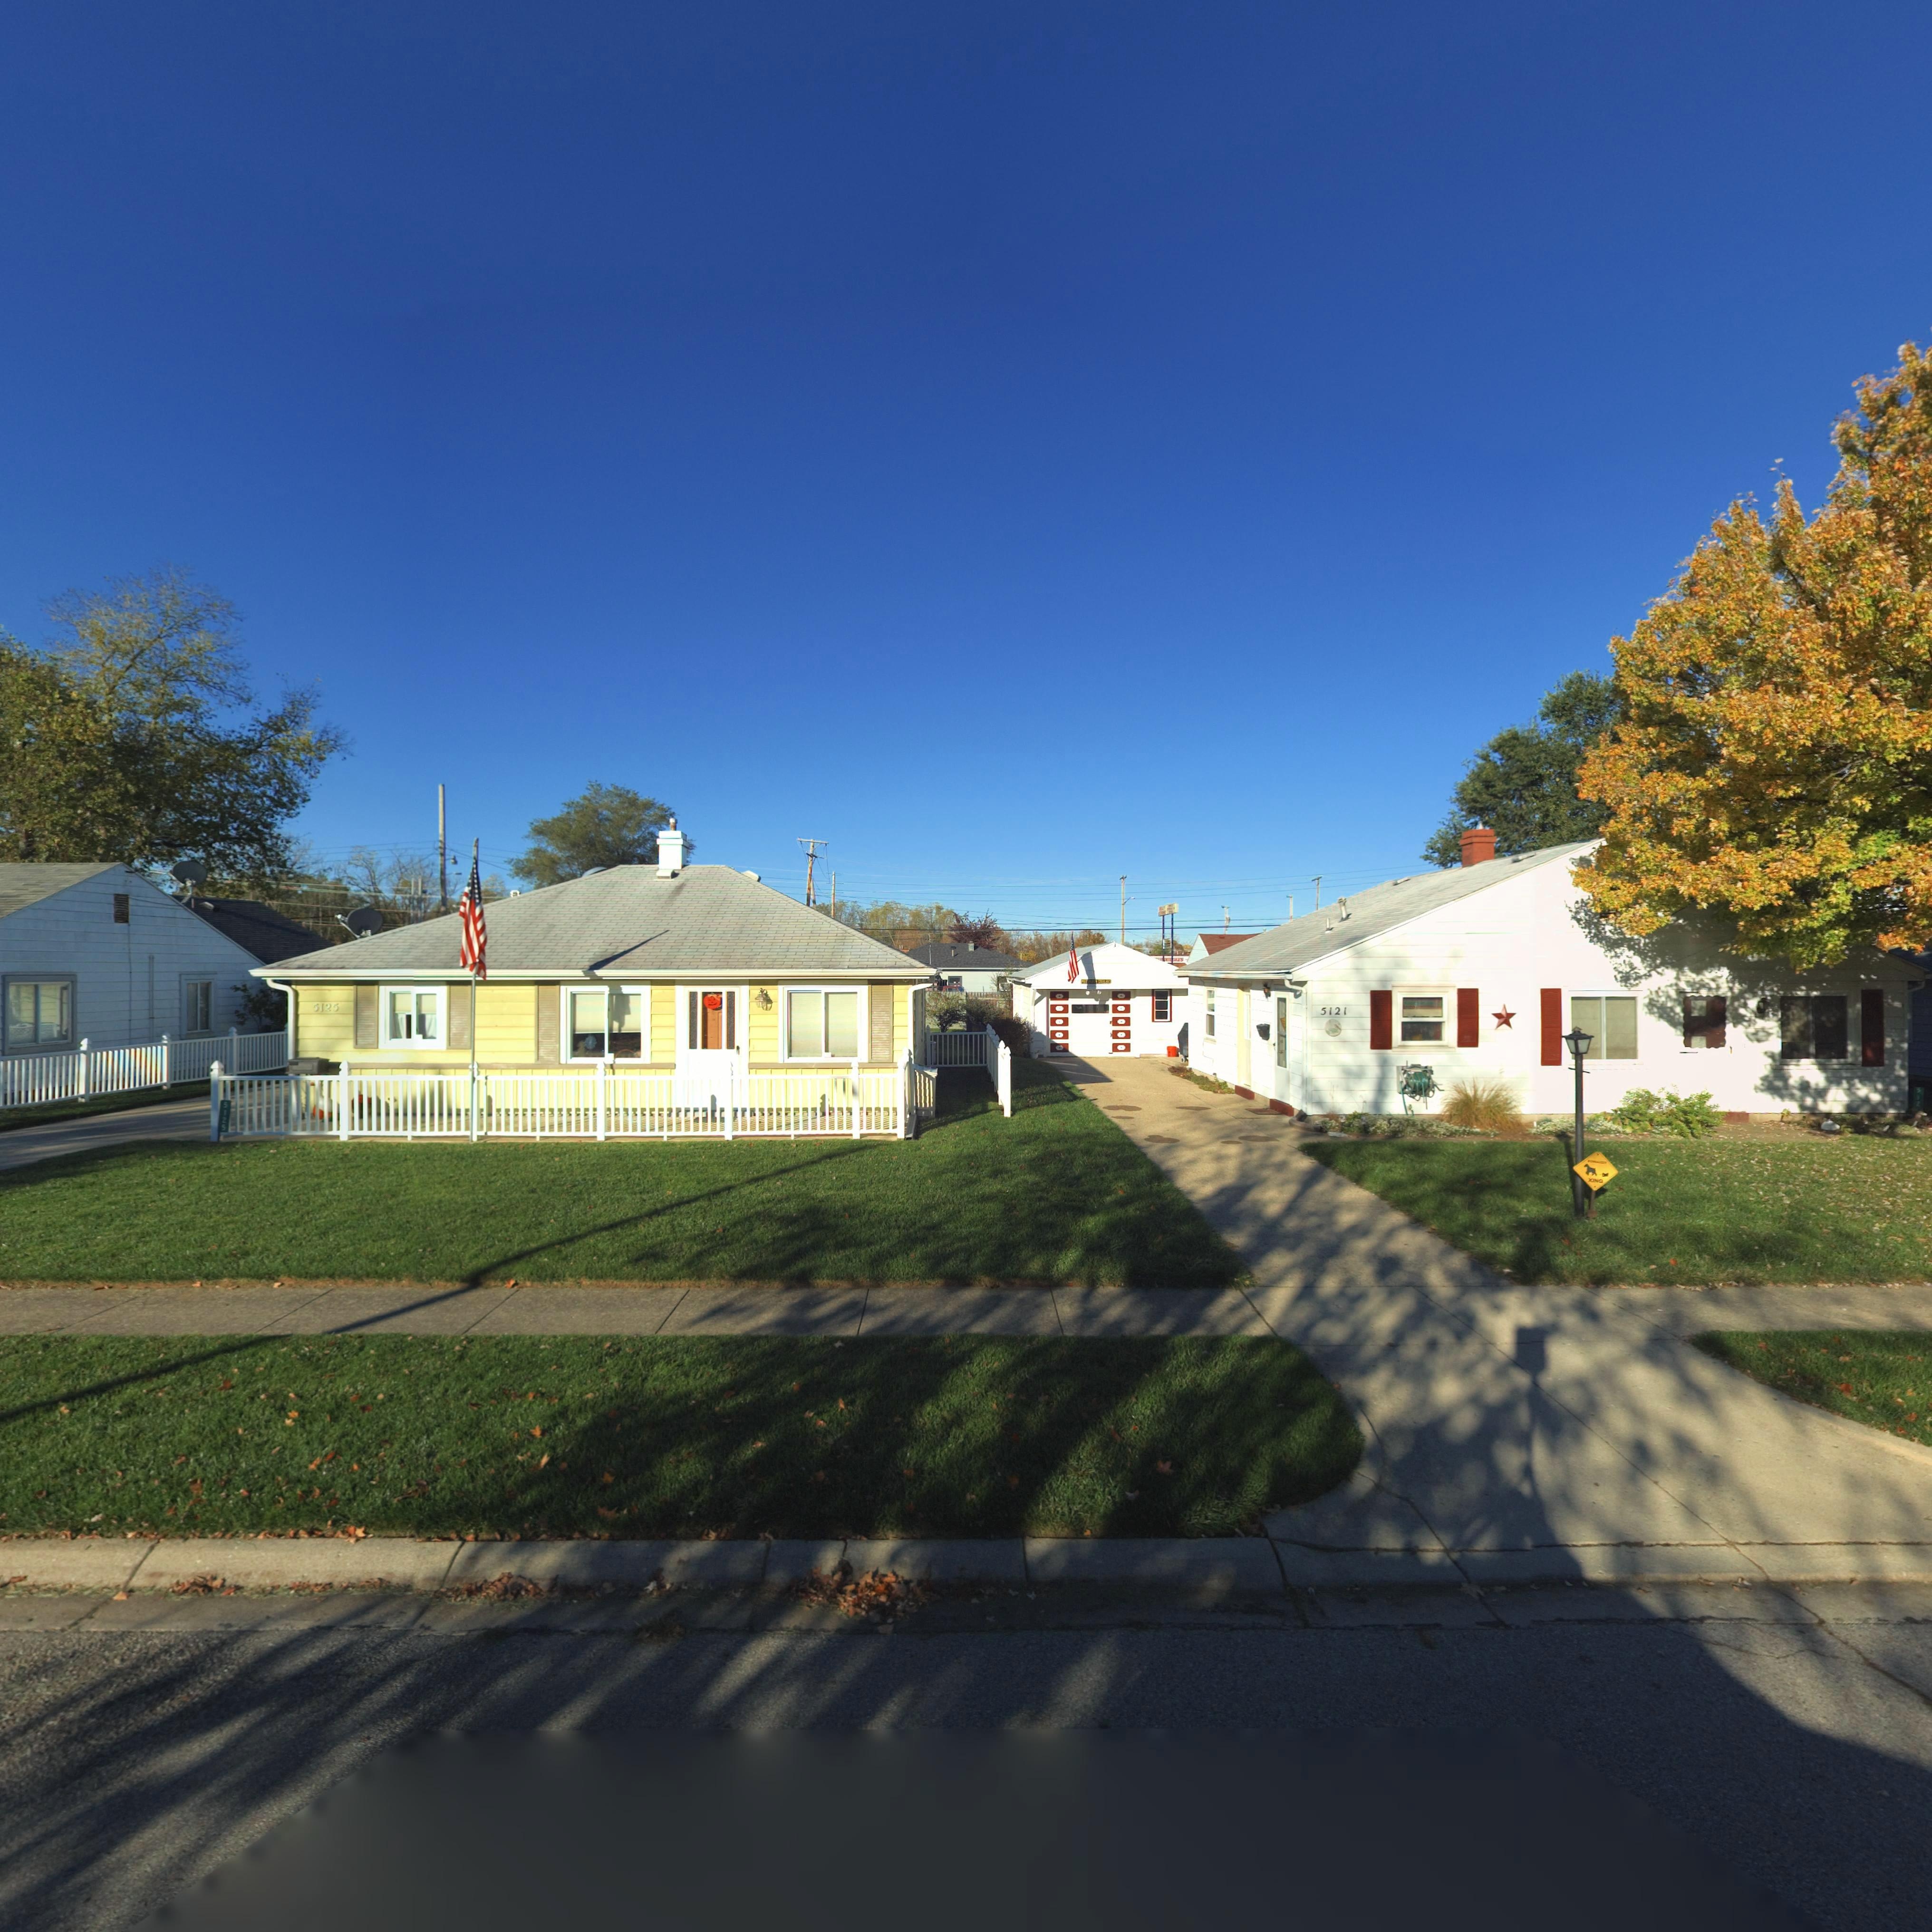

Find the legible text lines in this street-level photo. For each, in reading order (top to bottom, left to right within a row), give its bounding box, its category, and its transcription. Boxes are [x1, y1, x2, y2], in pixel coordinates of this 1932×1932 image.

[313, 1002, 339, 1013] StreetNumber: 5125
[1320, 1007, 1347, 1016] StreetNumber: 5121
[1915, 1086, 1922, 1107] StreetNumber: 512
[221, 1101, 229, 1131] StreetNumber: 5125